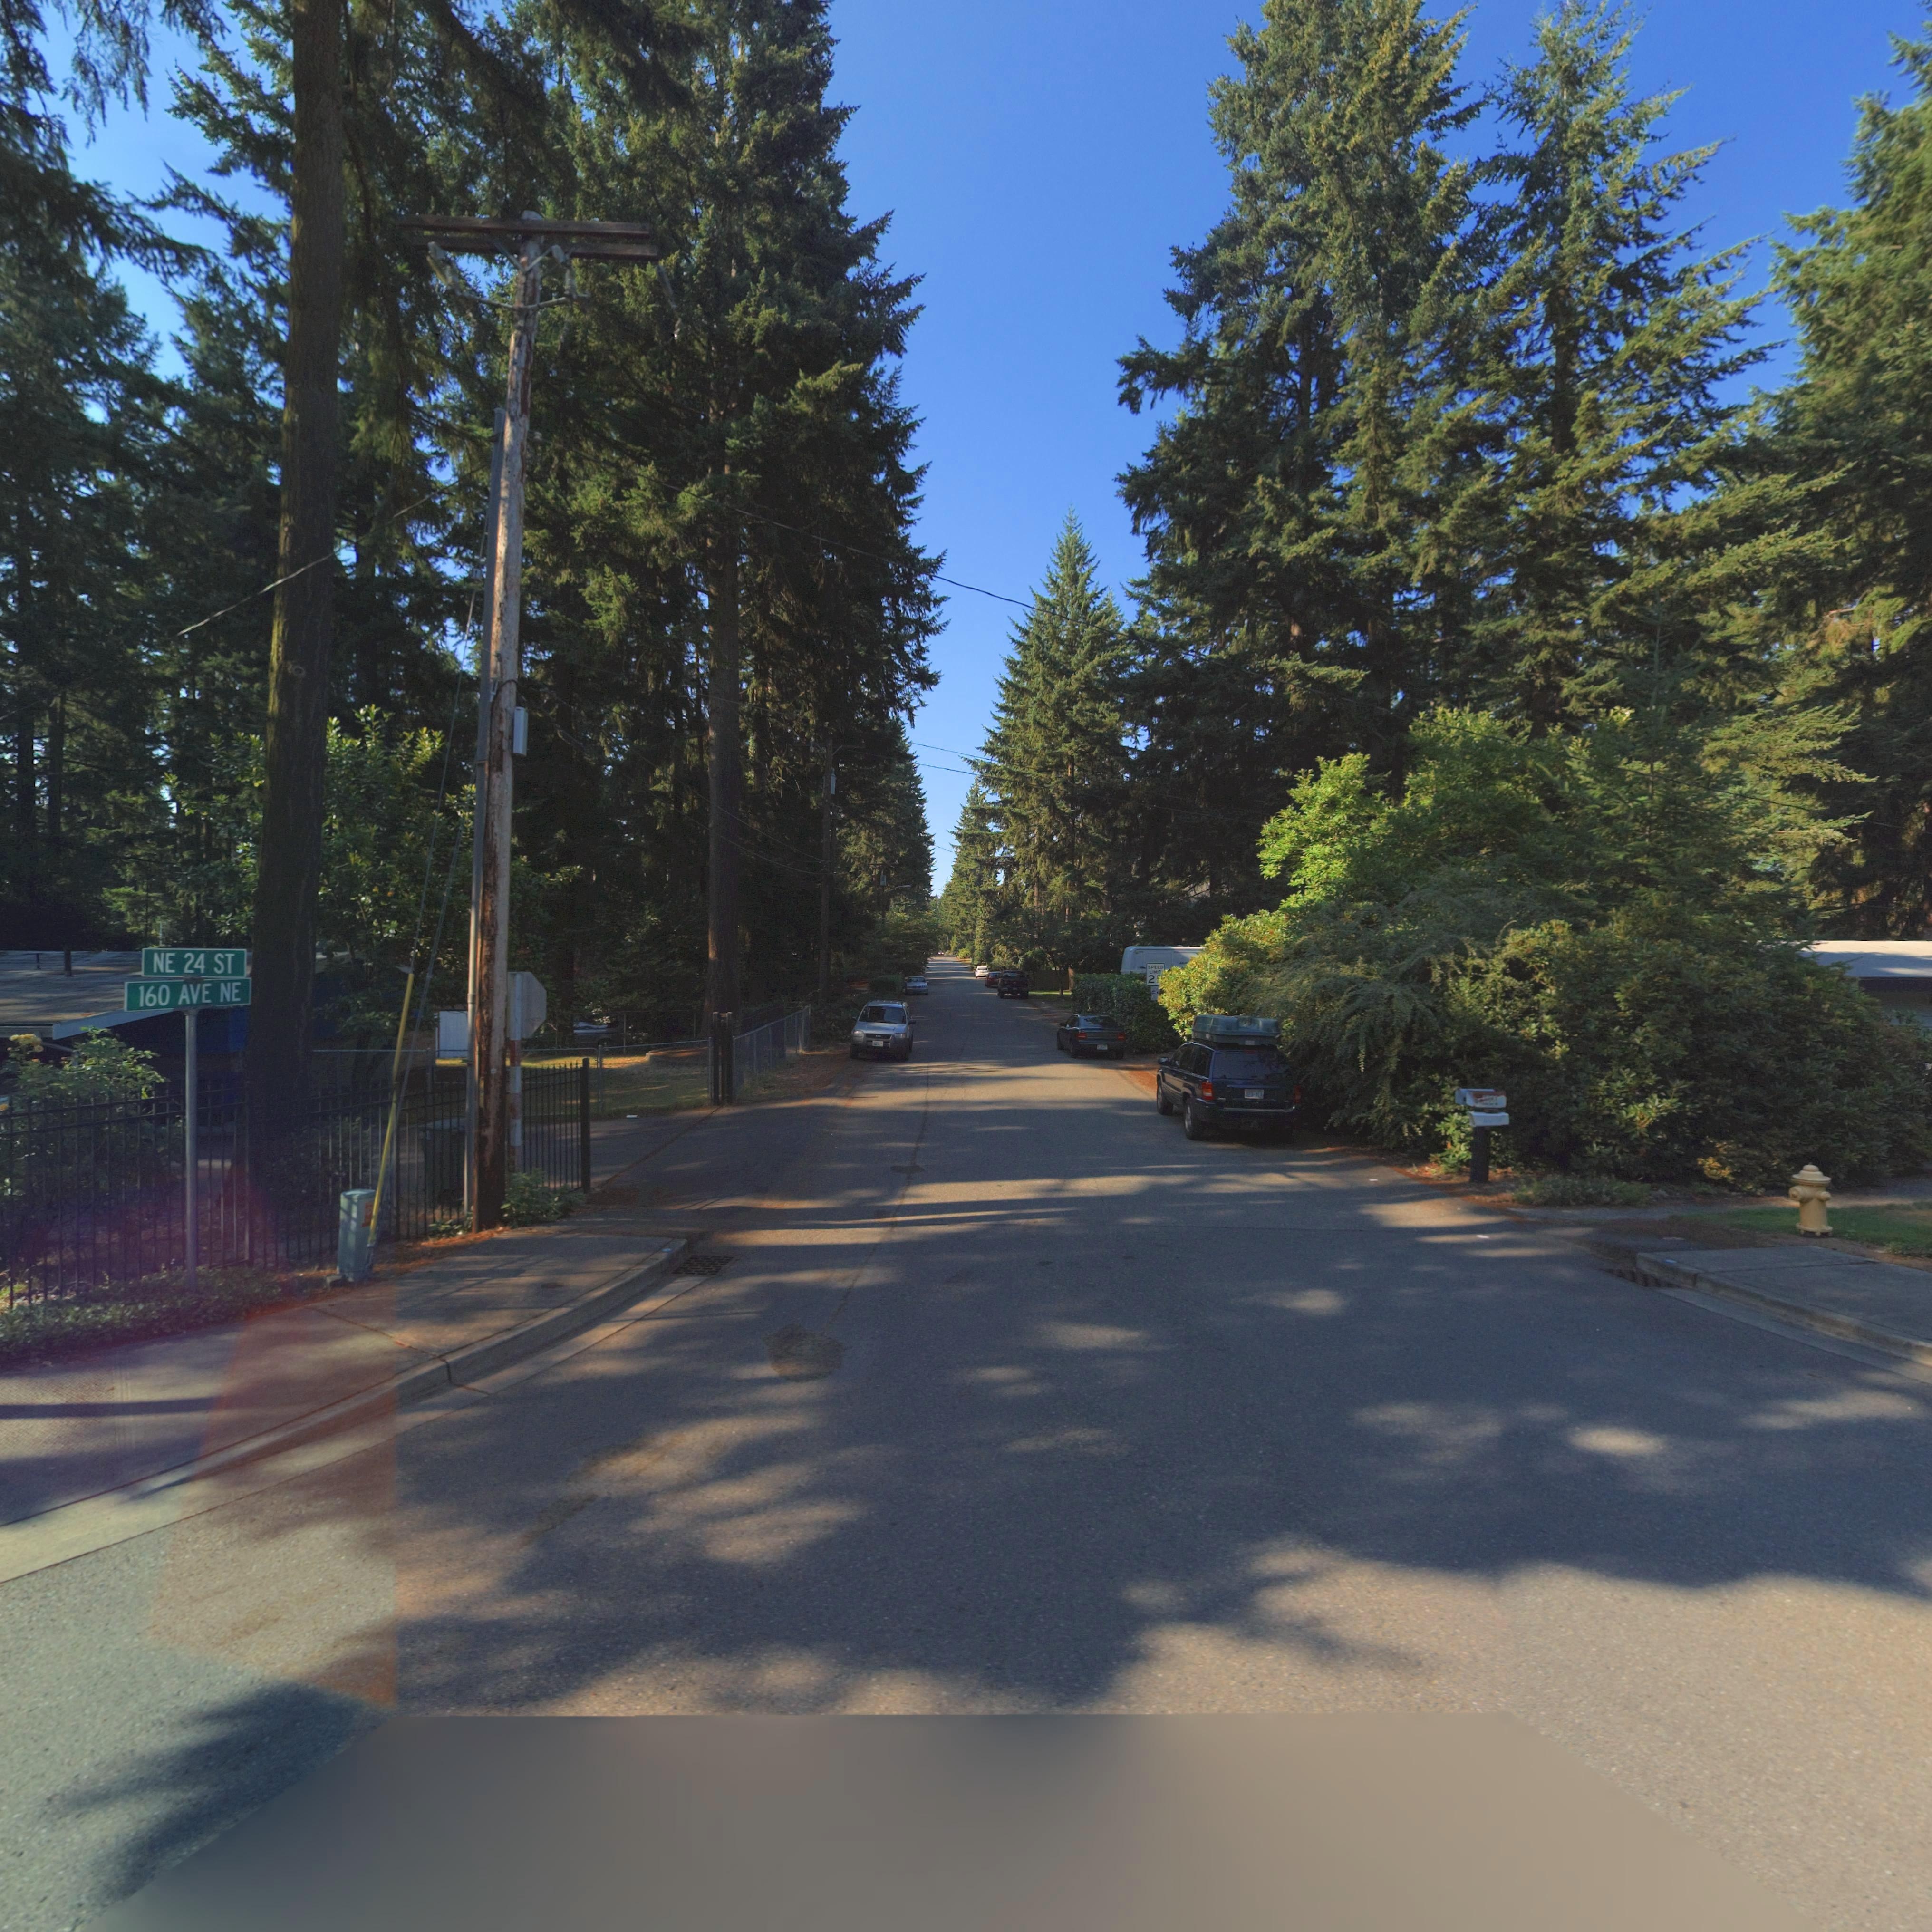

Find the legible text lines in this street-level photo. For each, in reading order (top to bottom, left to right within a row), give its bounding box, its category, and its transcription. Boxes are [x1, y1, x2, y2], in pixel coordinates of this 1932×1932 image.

[153, 952, 234, 973] StreetName: NE 24 ST
[138, 981, 244, 1006] StreetName: 160 AVE NE